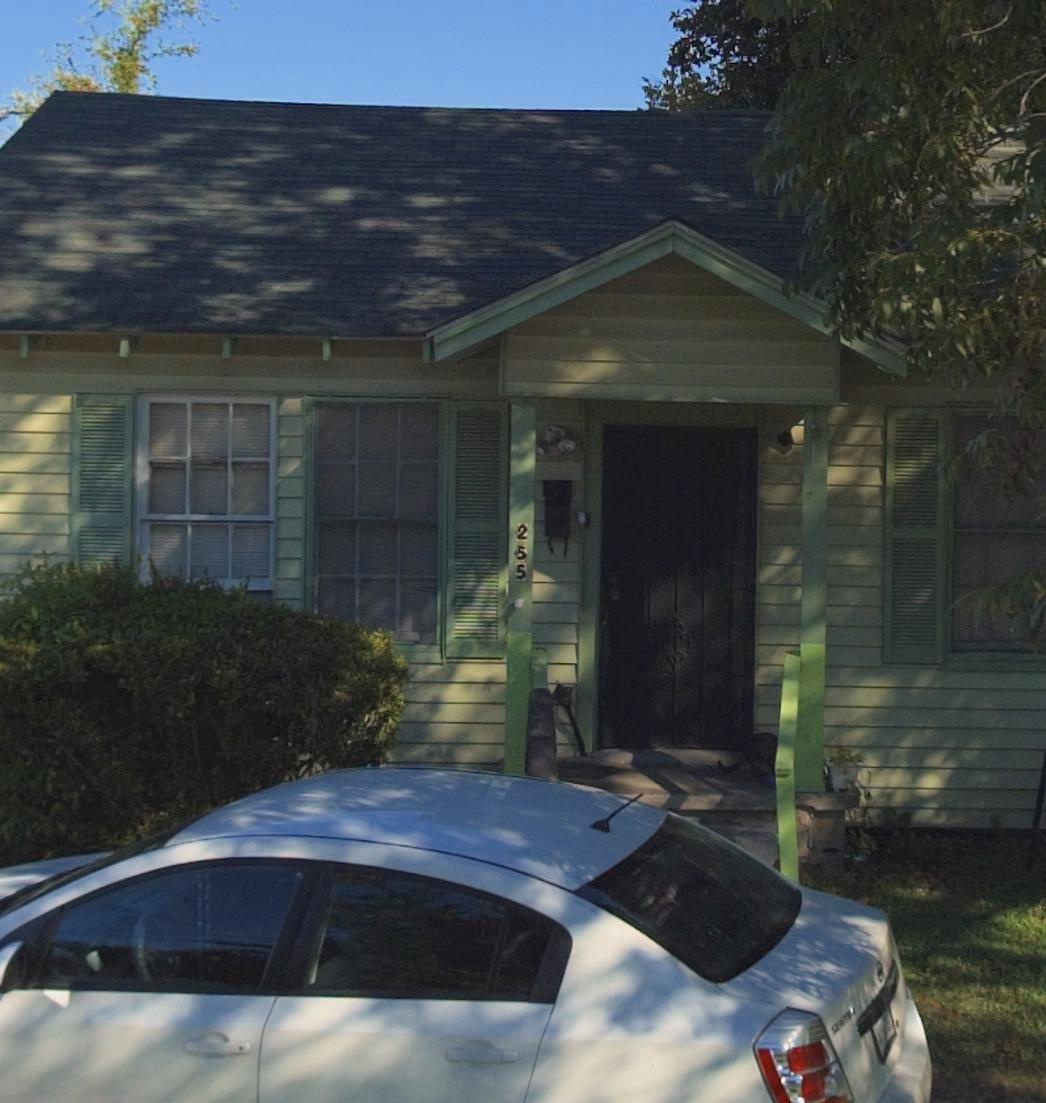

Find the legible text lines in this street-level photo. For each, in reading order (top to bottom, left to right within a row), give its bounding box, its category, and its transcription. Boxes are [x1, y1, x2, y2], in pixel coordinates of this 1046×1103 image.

[513, 521, 529, 582] StreetNumber: 255